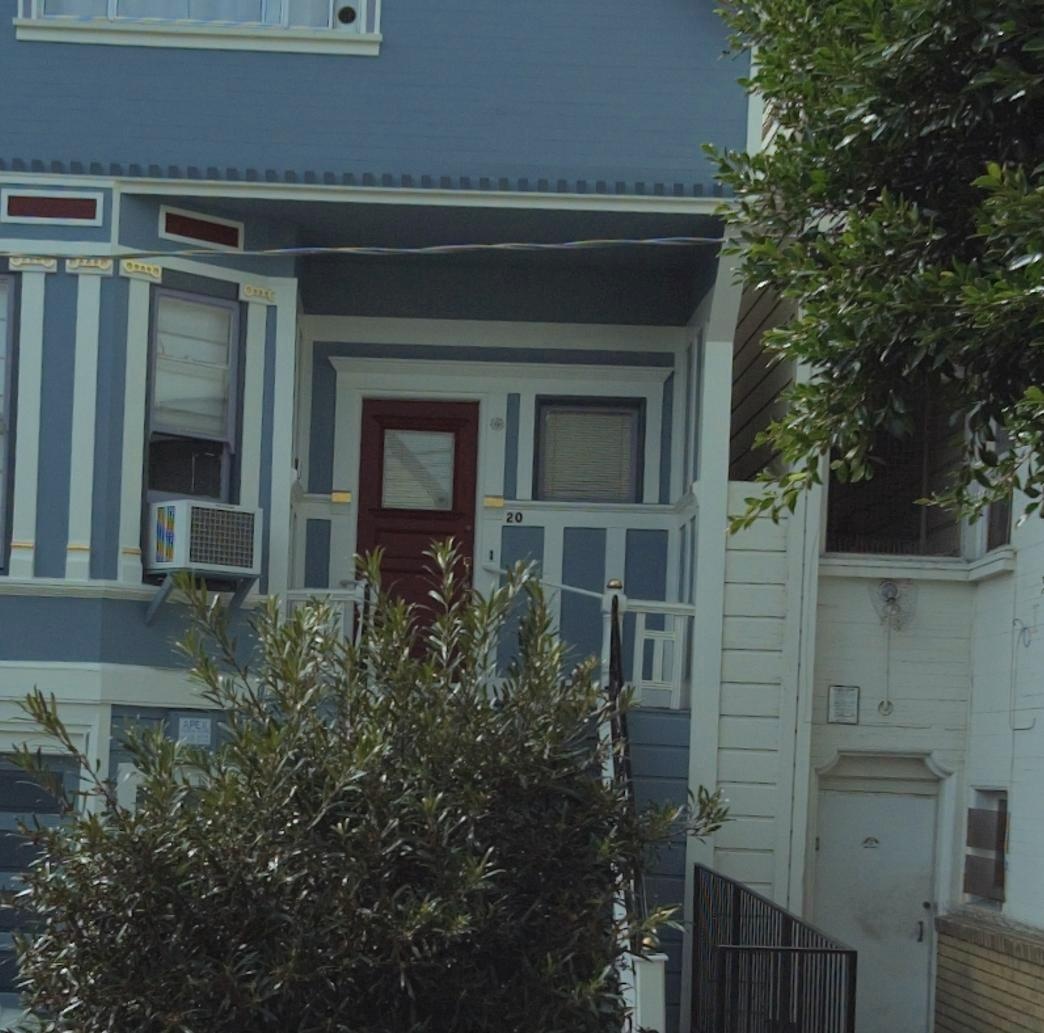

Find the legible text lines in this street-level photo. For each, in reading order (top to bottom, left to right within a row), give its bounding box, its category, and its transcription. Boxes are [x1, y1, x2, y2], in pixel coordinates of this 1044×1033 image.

[505, 511, 524, 524] StreetNumber: 20